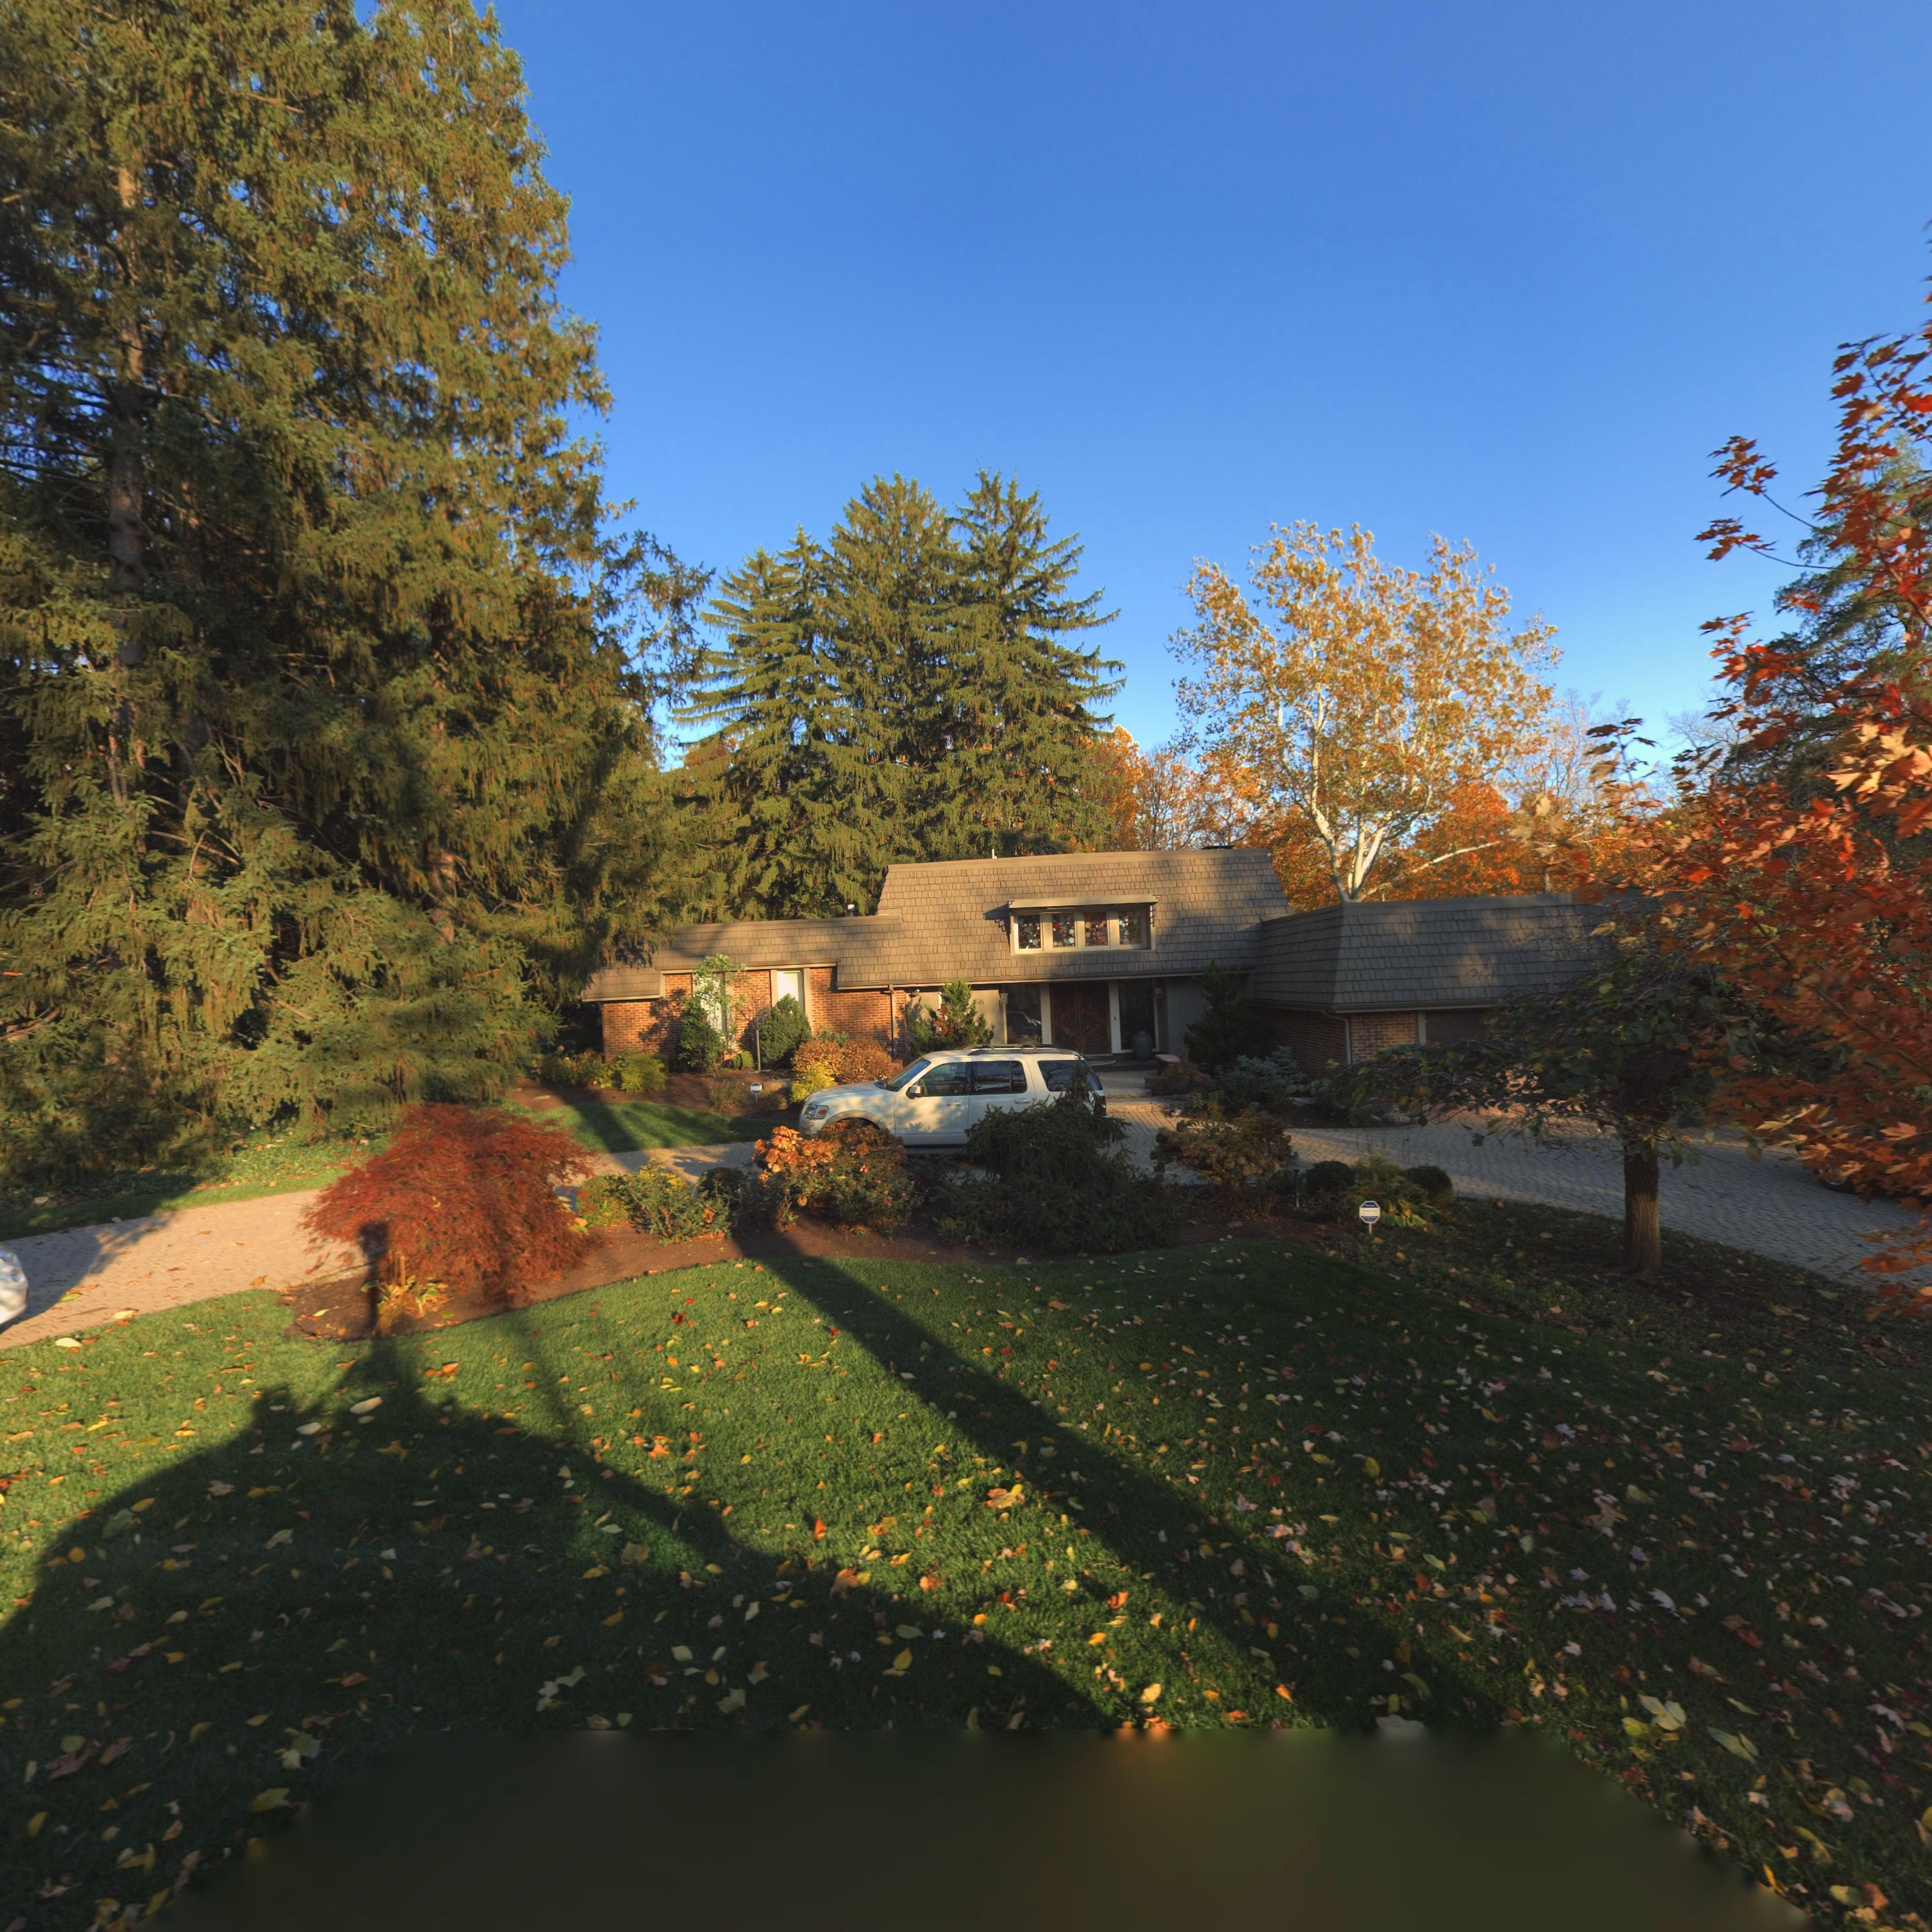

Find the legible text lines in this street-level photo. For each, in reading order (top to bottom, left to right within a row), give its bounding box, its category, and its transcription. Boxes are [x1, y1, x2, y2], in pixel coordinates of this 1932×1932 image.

[971, 998, 985, 1005] StreetNumber: *516